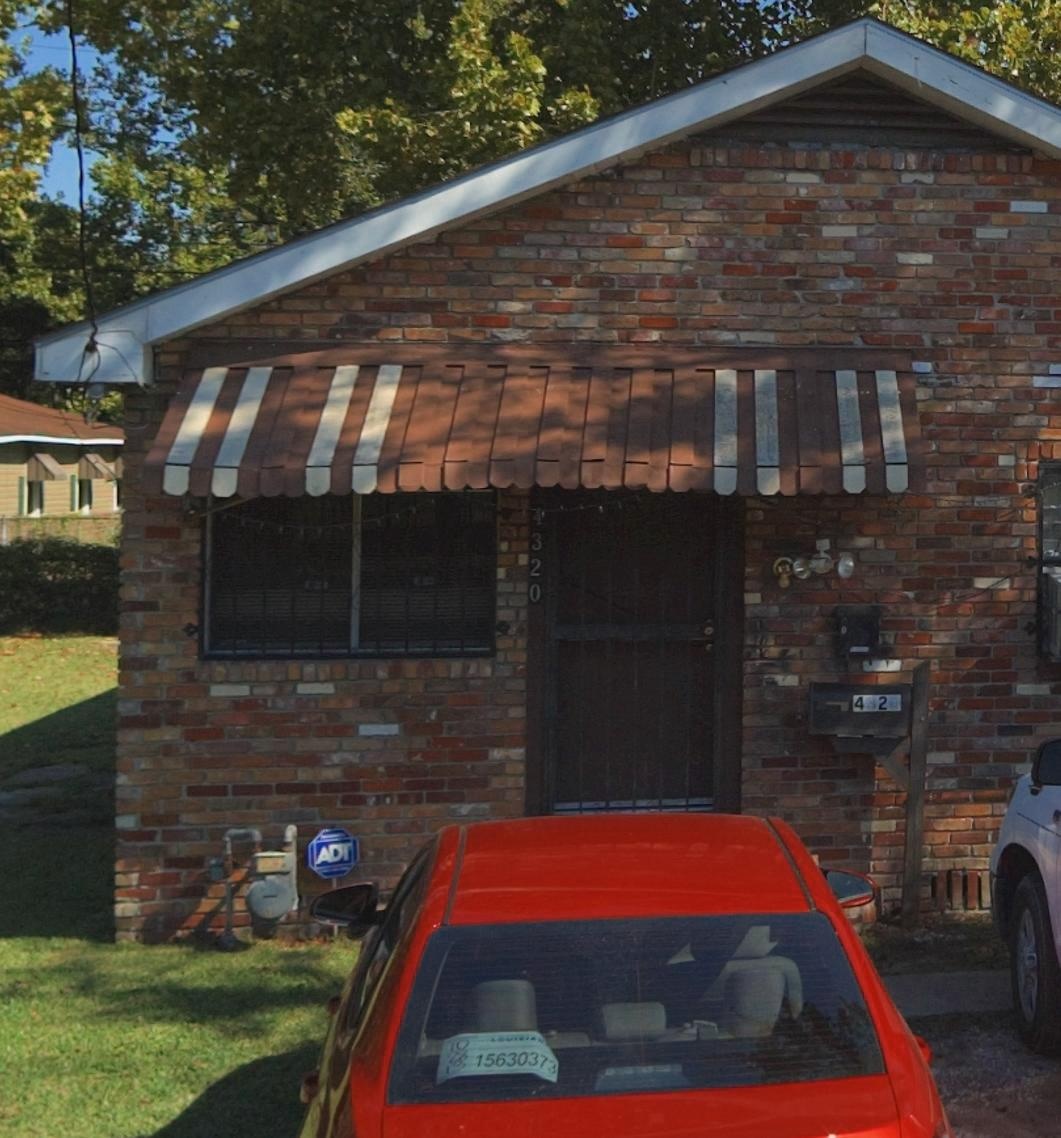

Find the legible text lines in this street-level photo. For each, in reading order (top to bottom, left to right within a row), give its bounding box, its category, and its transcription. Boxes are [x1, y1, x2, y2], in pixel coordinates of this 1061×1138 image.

[526, 504, 546, 605] StreetNumber: 4320
[853, 694, 900, 712] StreetNumber: 4*2*
[313, 840, 354, 866] None: ADT
[474, 1050, 559, 1077] None: 15630373